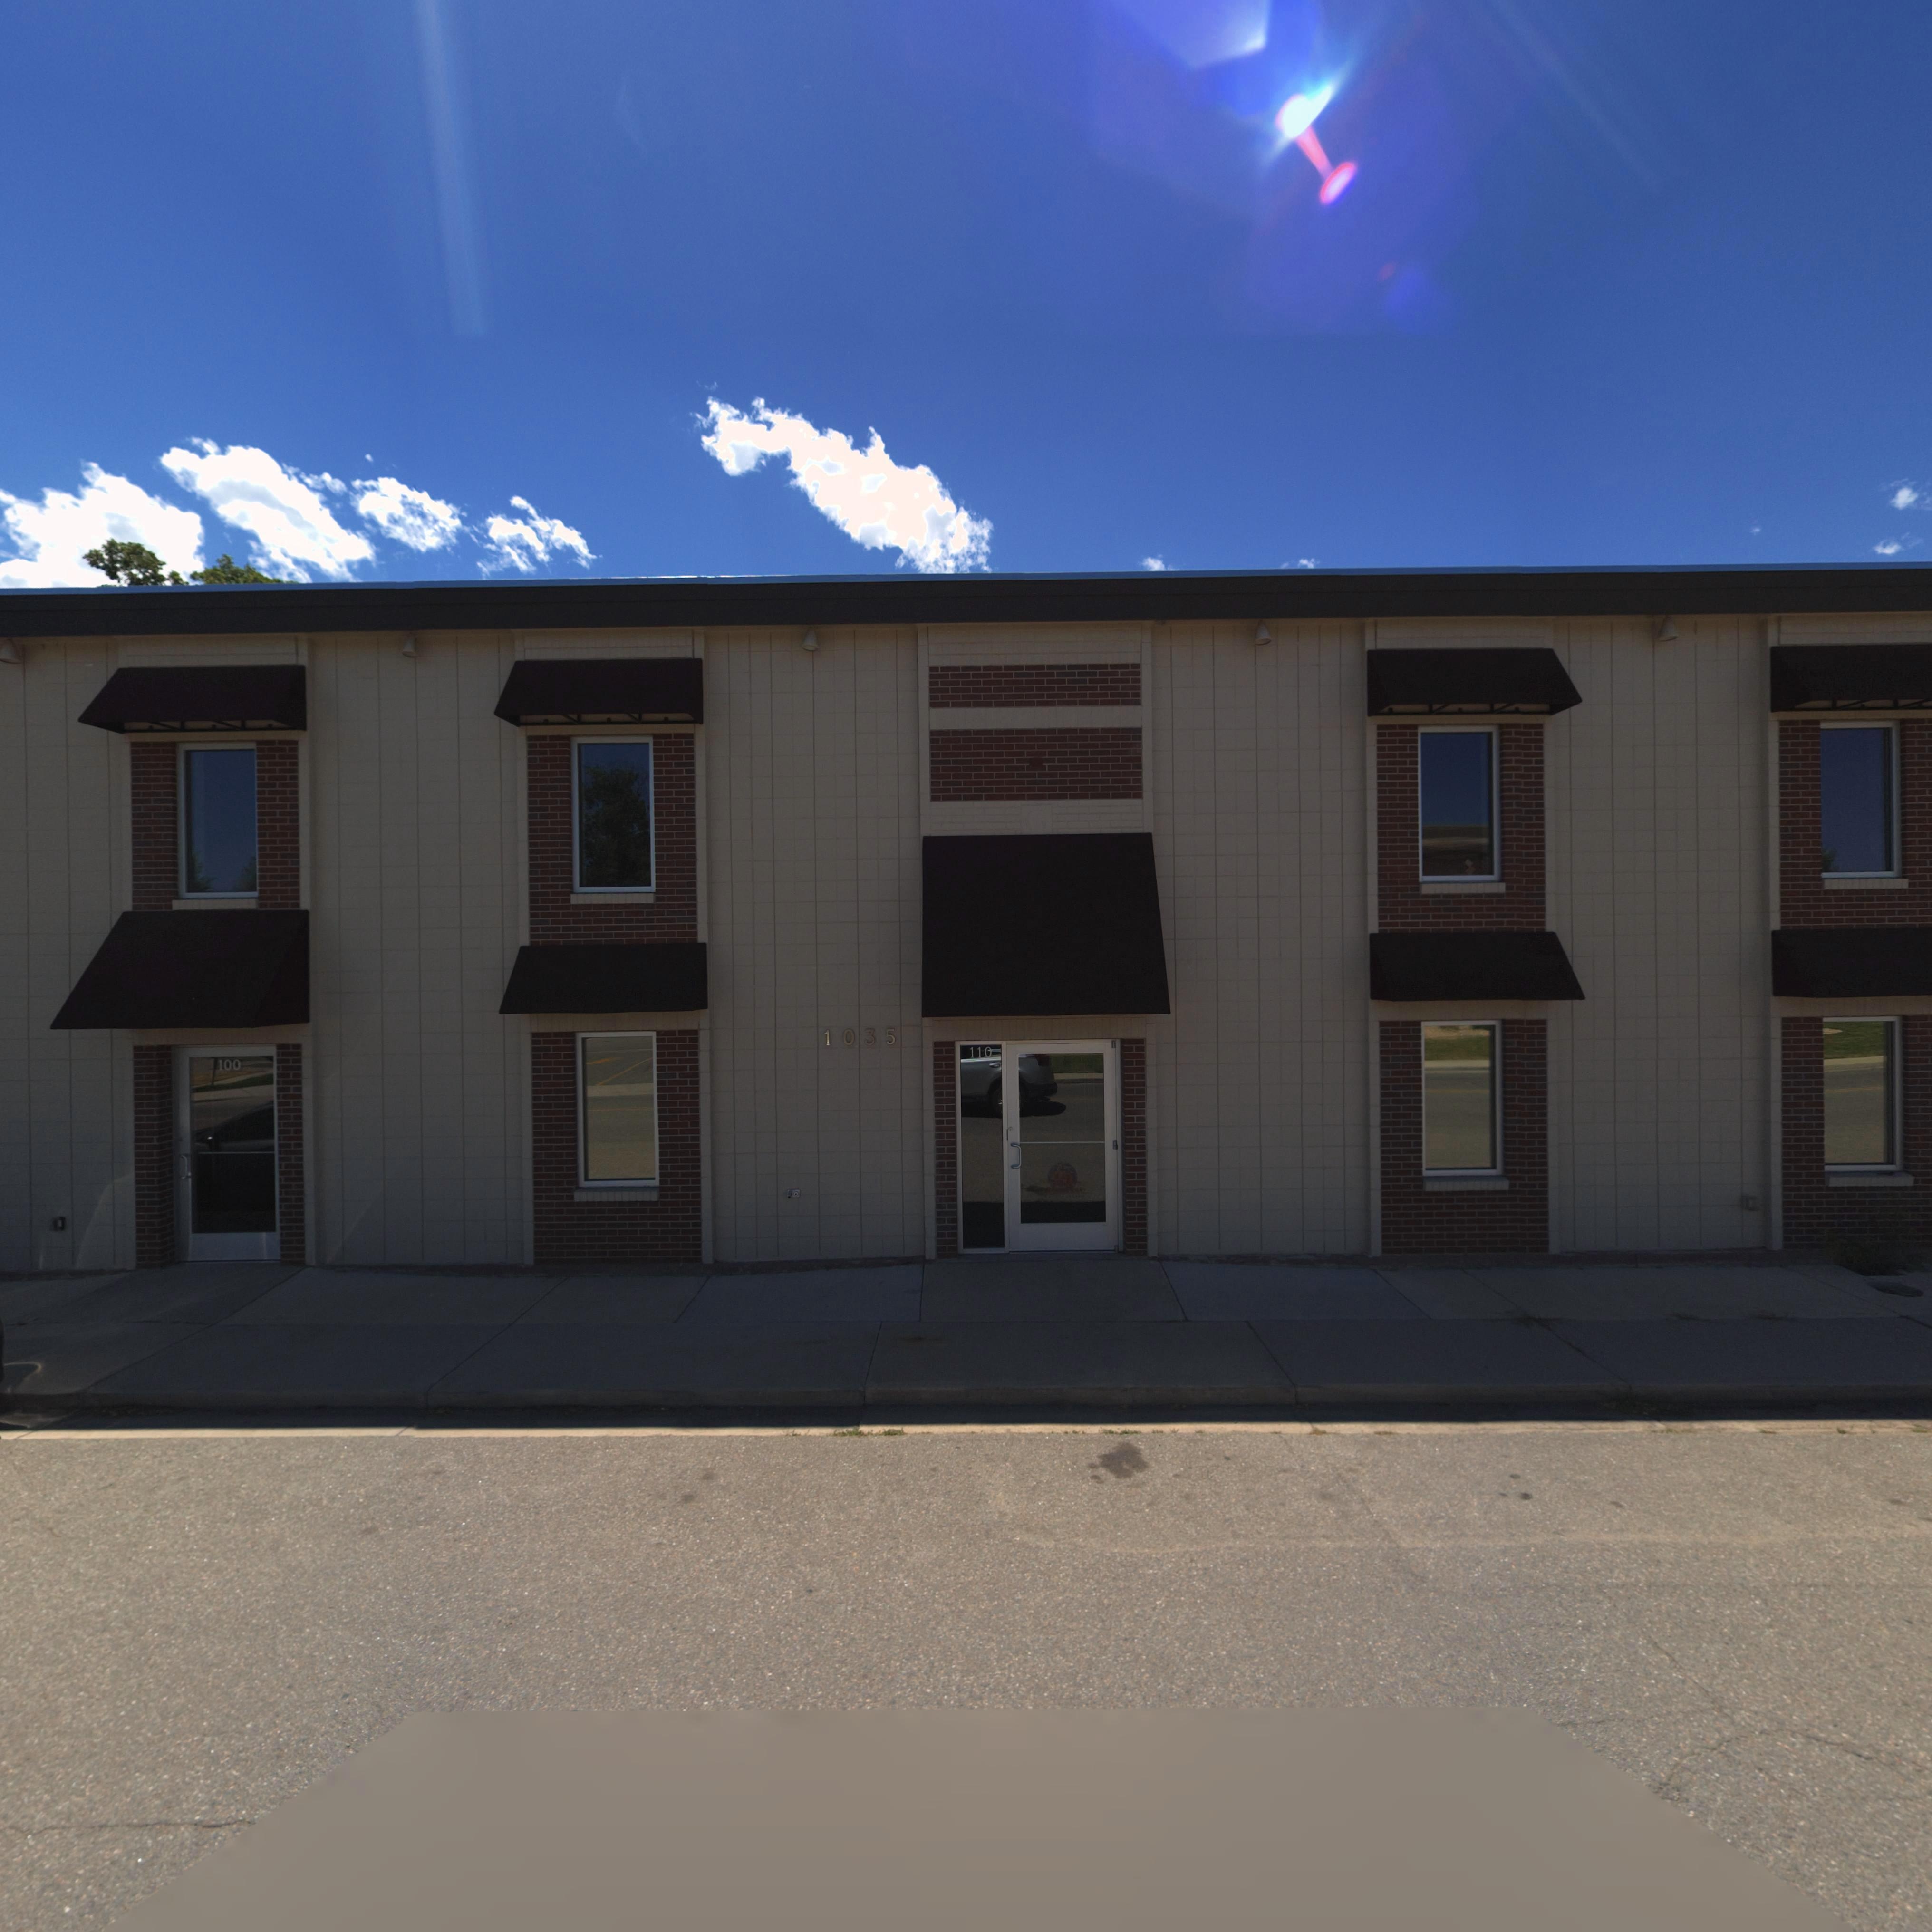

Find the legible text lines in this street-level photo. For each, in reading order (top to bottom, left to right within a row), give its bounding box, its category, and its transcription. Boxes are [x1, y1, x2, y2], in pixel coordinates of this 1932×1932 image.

[822, 1027, 897, 1045] StreetNumber: 1035
[969, 1045, 993, 1059] StreetNumber: 110
[218, 1059, 241, 1071] StreetNumber: 100